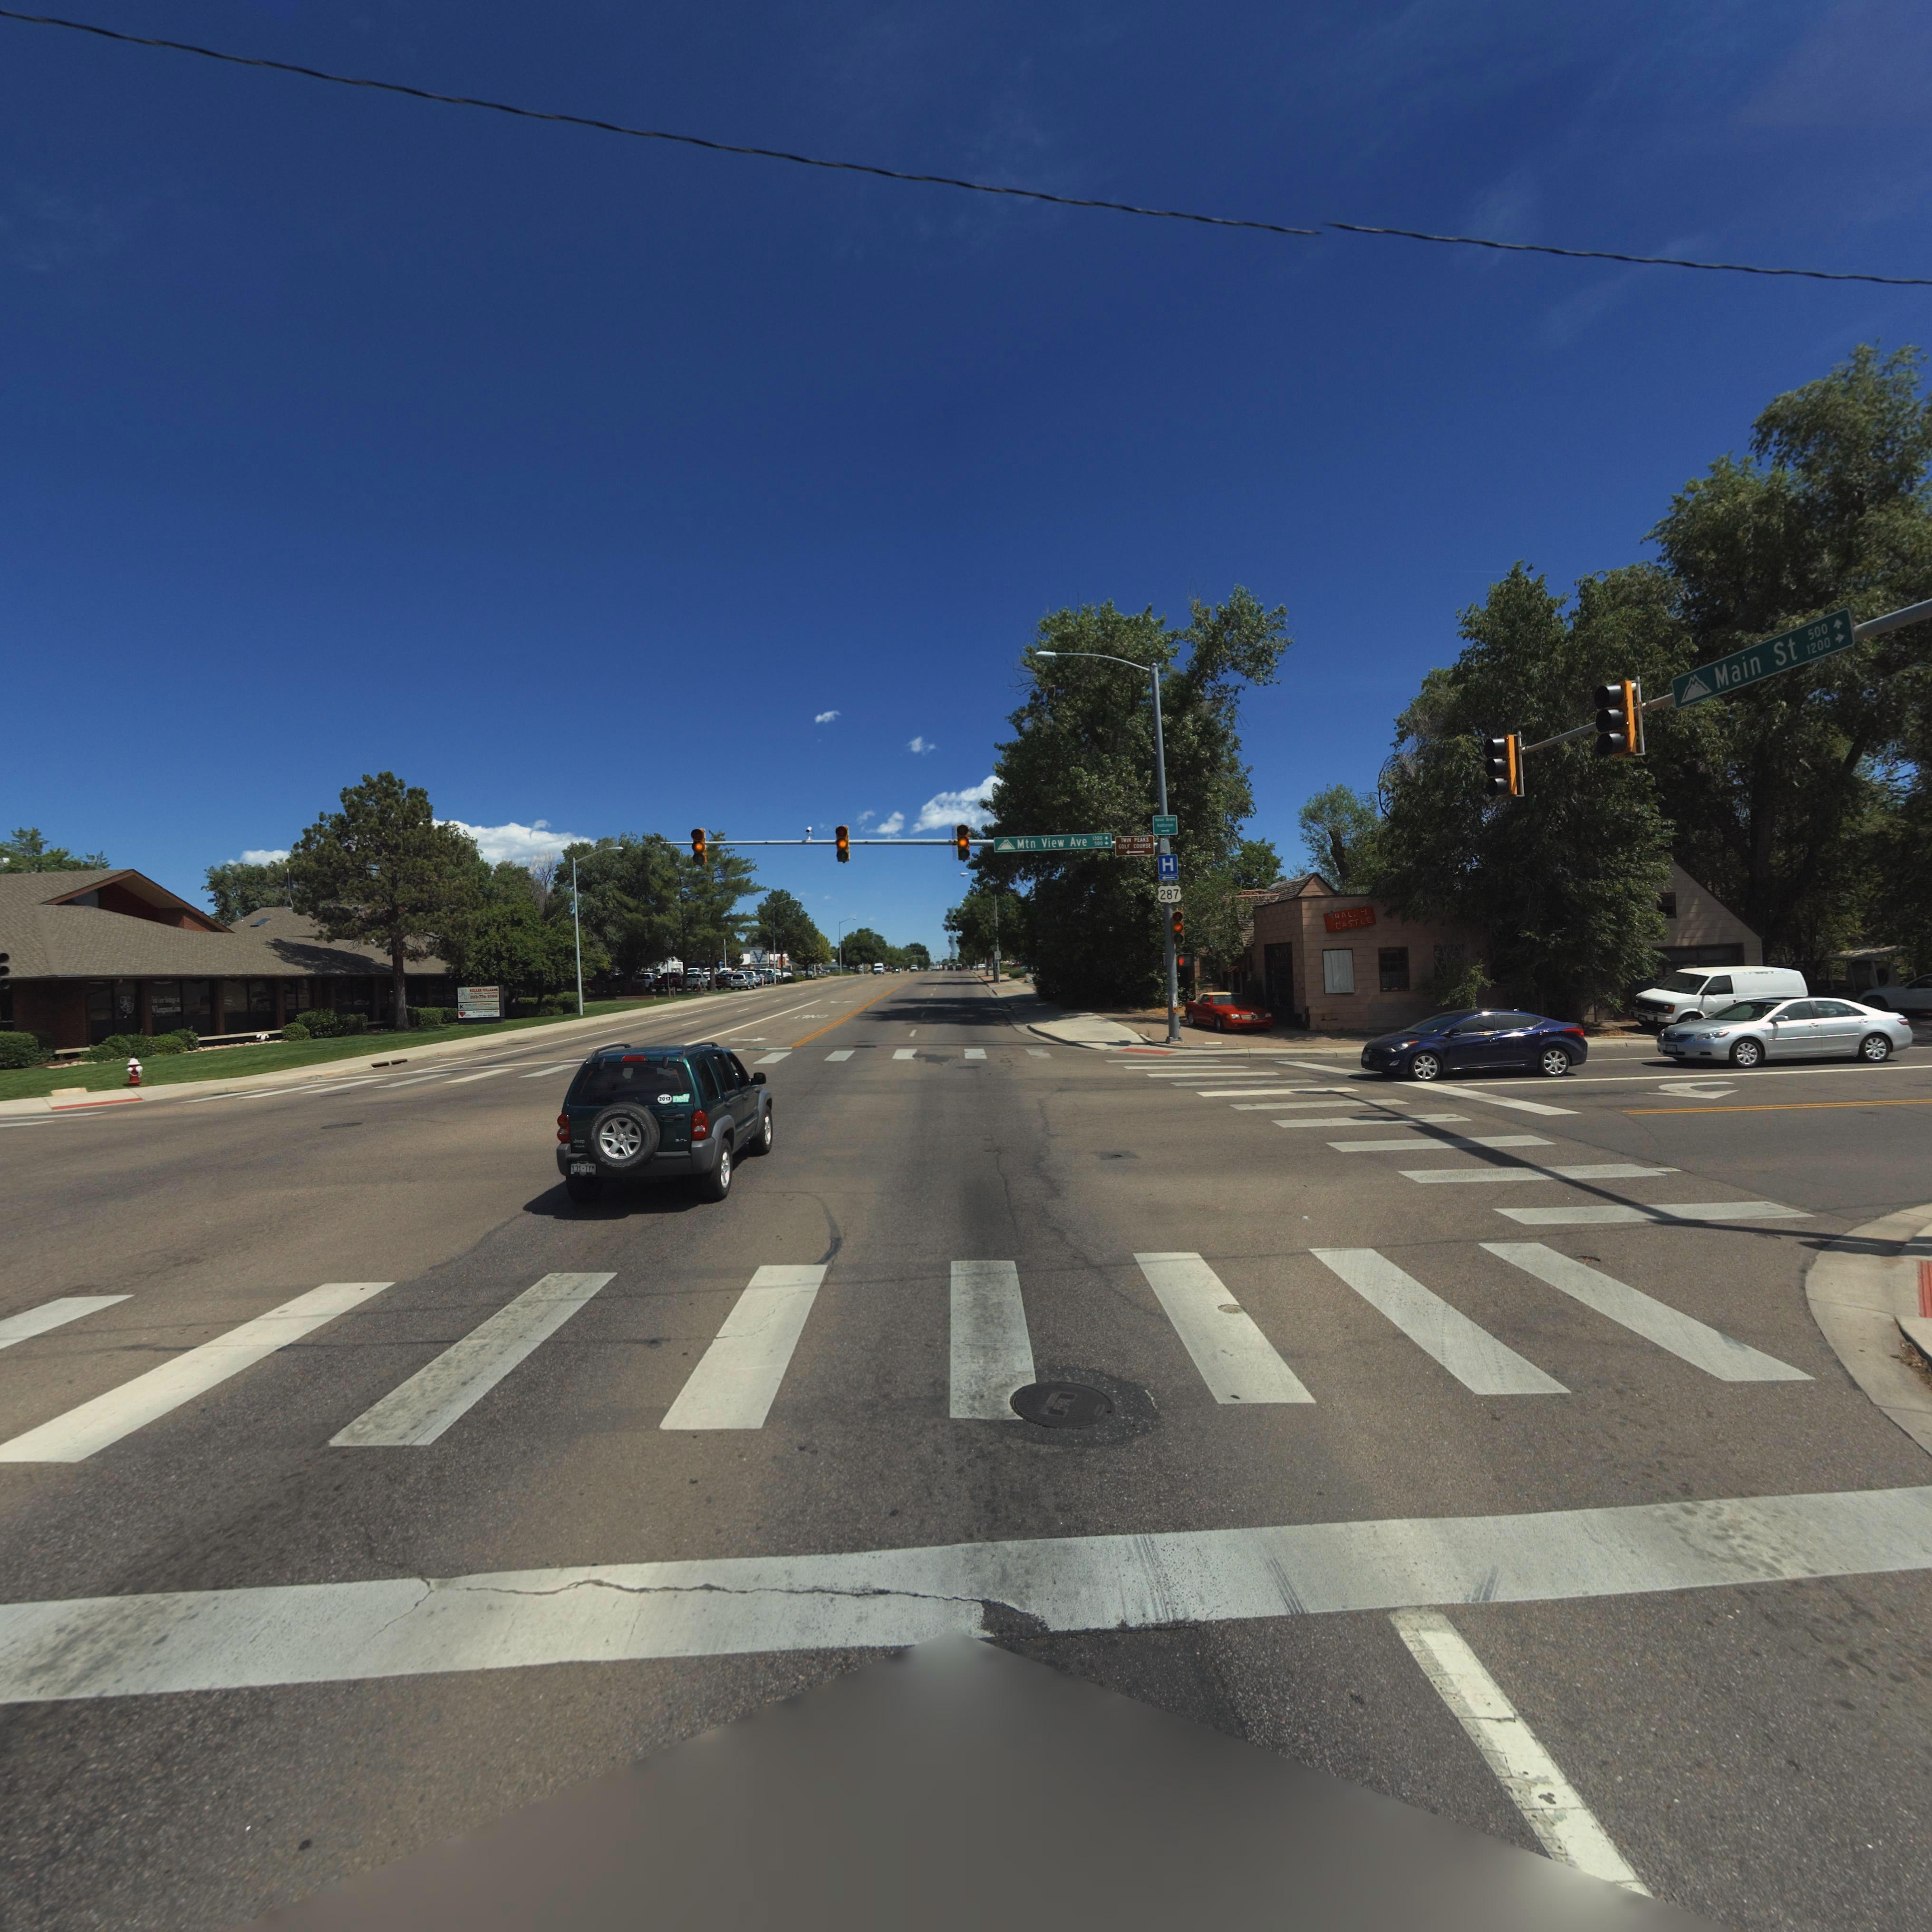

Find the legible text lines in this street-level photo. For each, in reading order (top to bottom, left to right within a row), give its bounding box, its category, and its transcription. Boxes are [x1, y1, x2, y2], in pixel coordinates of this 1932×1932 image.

[1807, 622, 1828, 640] StreetNumberRange: 500
[1806, 633, 1845, 655] StreetNumberRange: 1200->
[1714, 637, 1798, 689] StreetName: Main St
[1016, 836, 1087, 849] StreetName: Mtn View Ave
[1092, 835, 1103, 840] StreetNumberRange: 1300
[1094, 841, 1109, 846] StreetNumberRange: 500->
[1334, 908, 1367, 920] BusinessName: RAL*H
[1335, 916, 1372, 929] BusinessName: CASTLE
[469, 988, 497, 992] BusinessName: **LL** *******